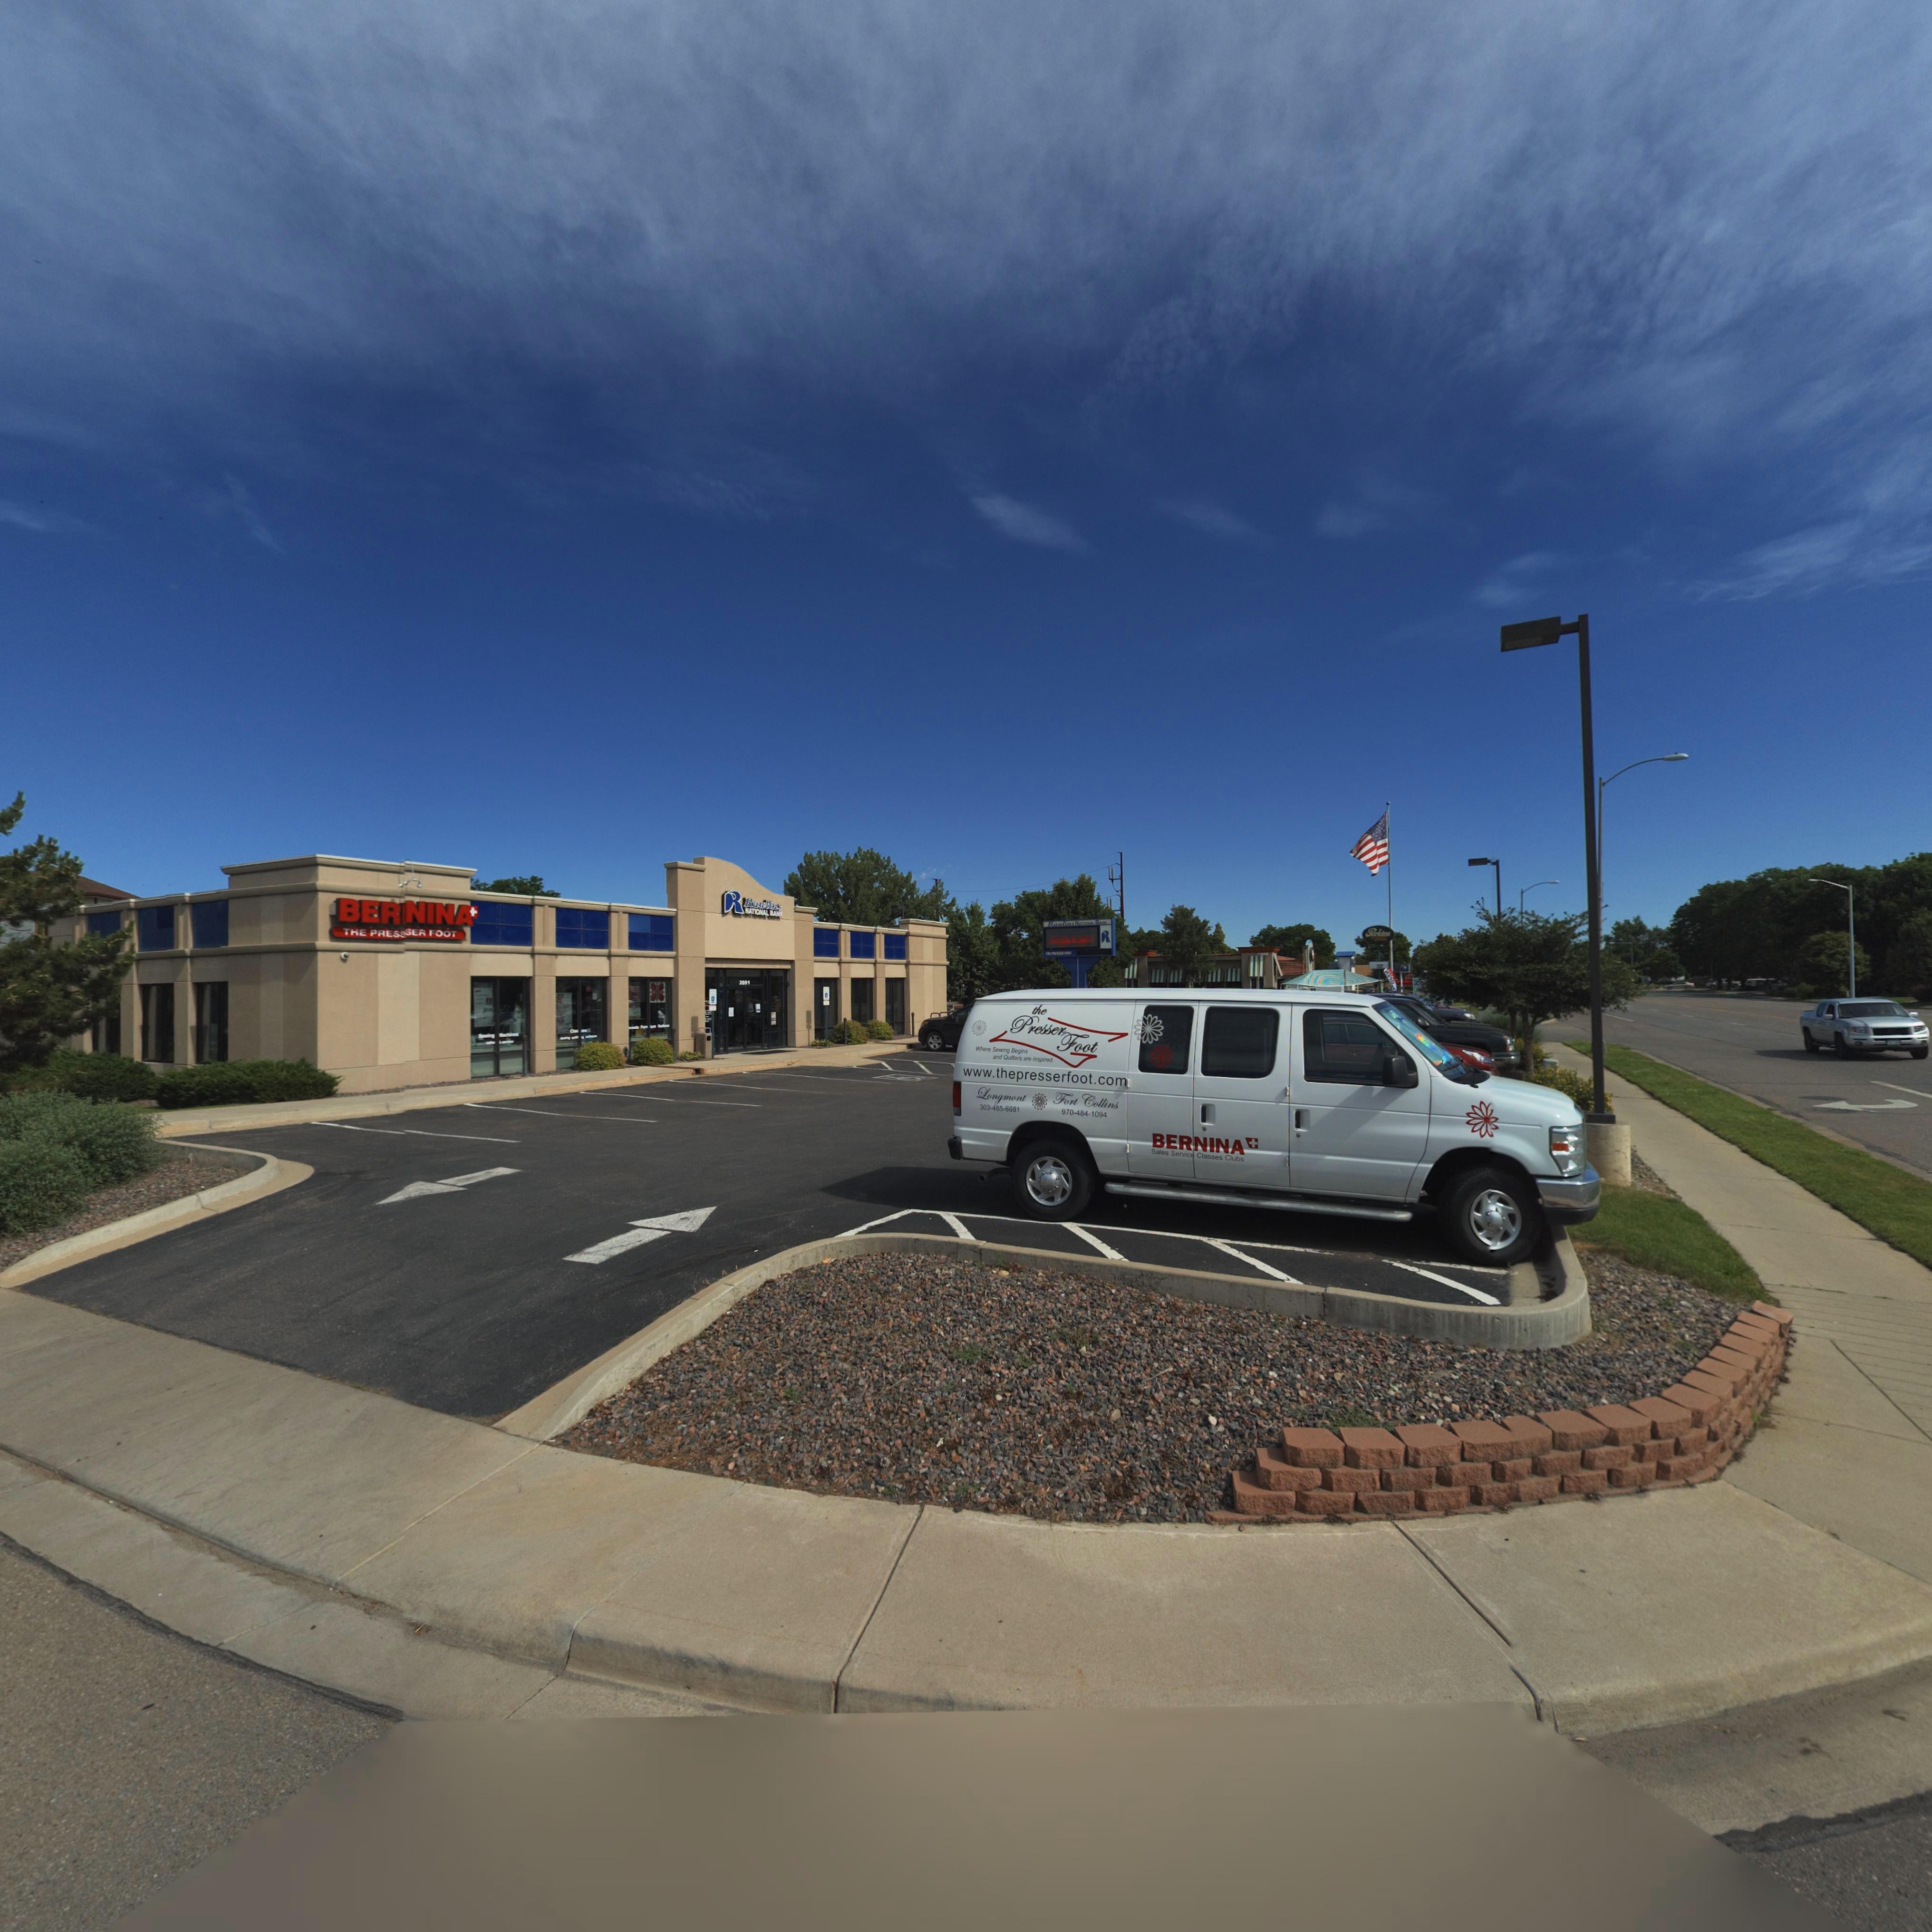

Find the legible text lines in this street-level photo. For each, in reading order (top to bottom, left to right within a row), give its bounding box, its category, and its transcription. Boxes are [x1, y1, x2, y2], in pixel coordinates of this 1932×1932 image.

[744, 897, 782, 910] BusinessName: Ra*l***
[338, 897, 475, 927] BusinessName: BER*NINA
[745, 907, 783, 917] BusinessName: *ATIO*AL BAN*
[1047, 919, 1107, 927] BusinessName: Rawlins NAT*O*AL BA**
[342, 927, 457, 939] BusinessName: THE PRES*SER FOOT
[1365, 927, 1391, 937] BusinessName: P*rkins
[739, 980, 750, 985] StreetNumber: 2**1